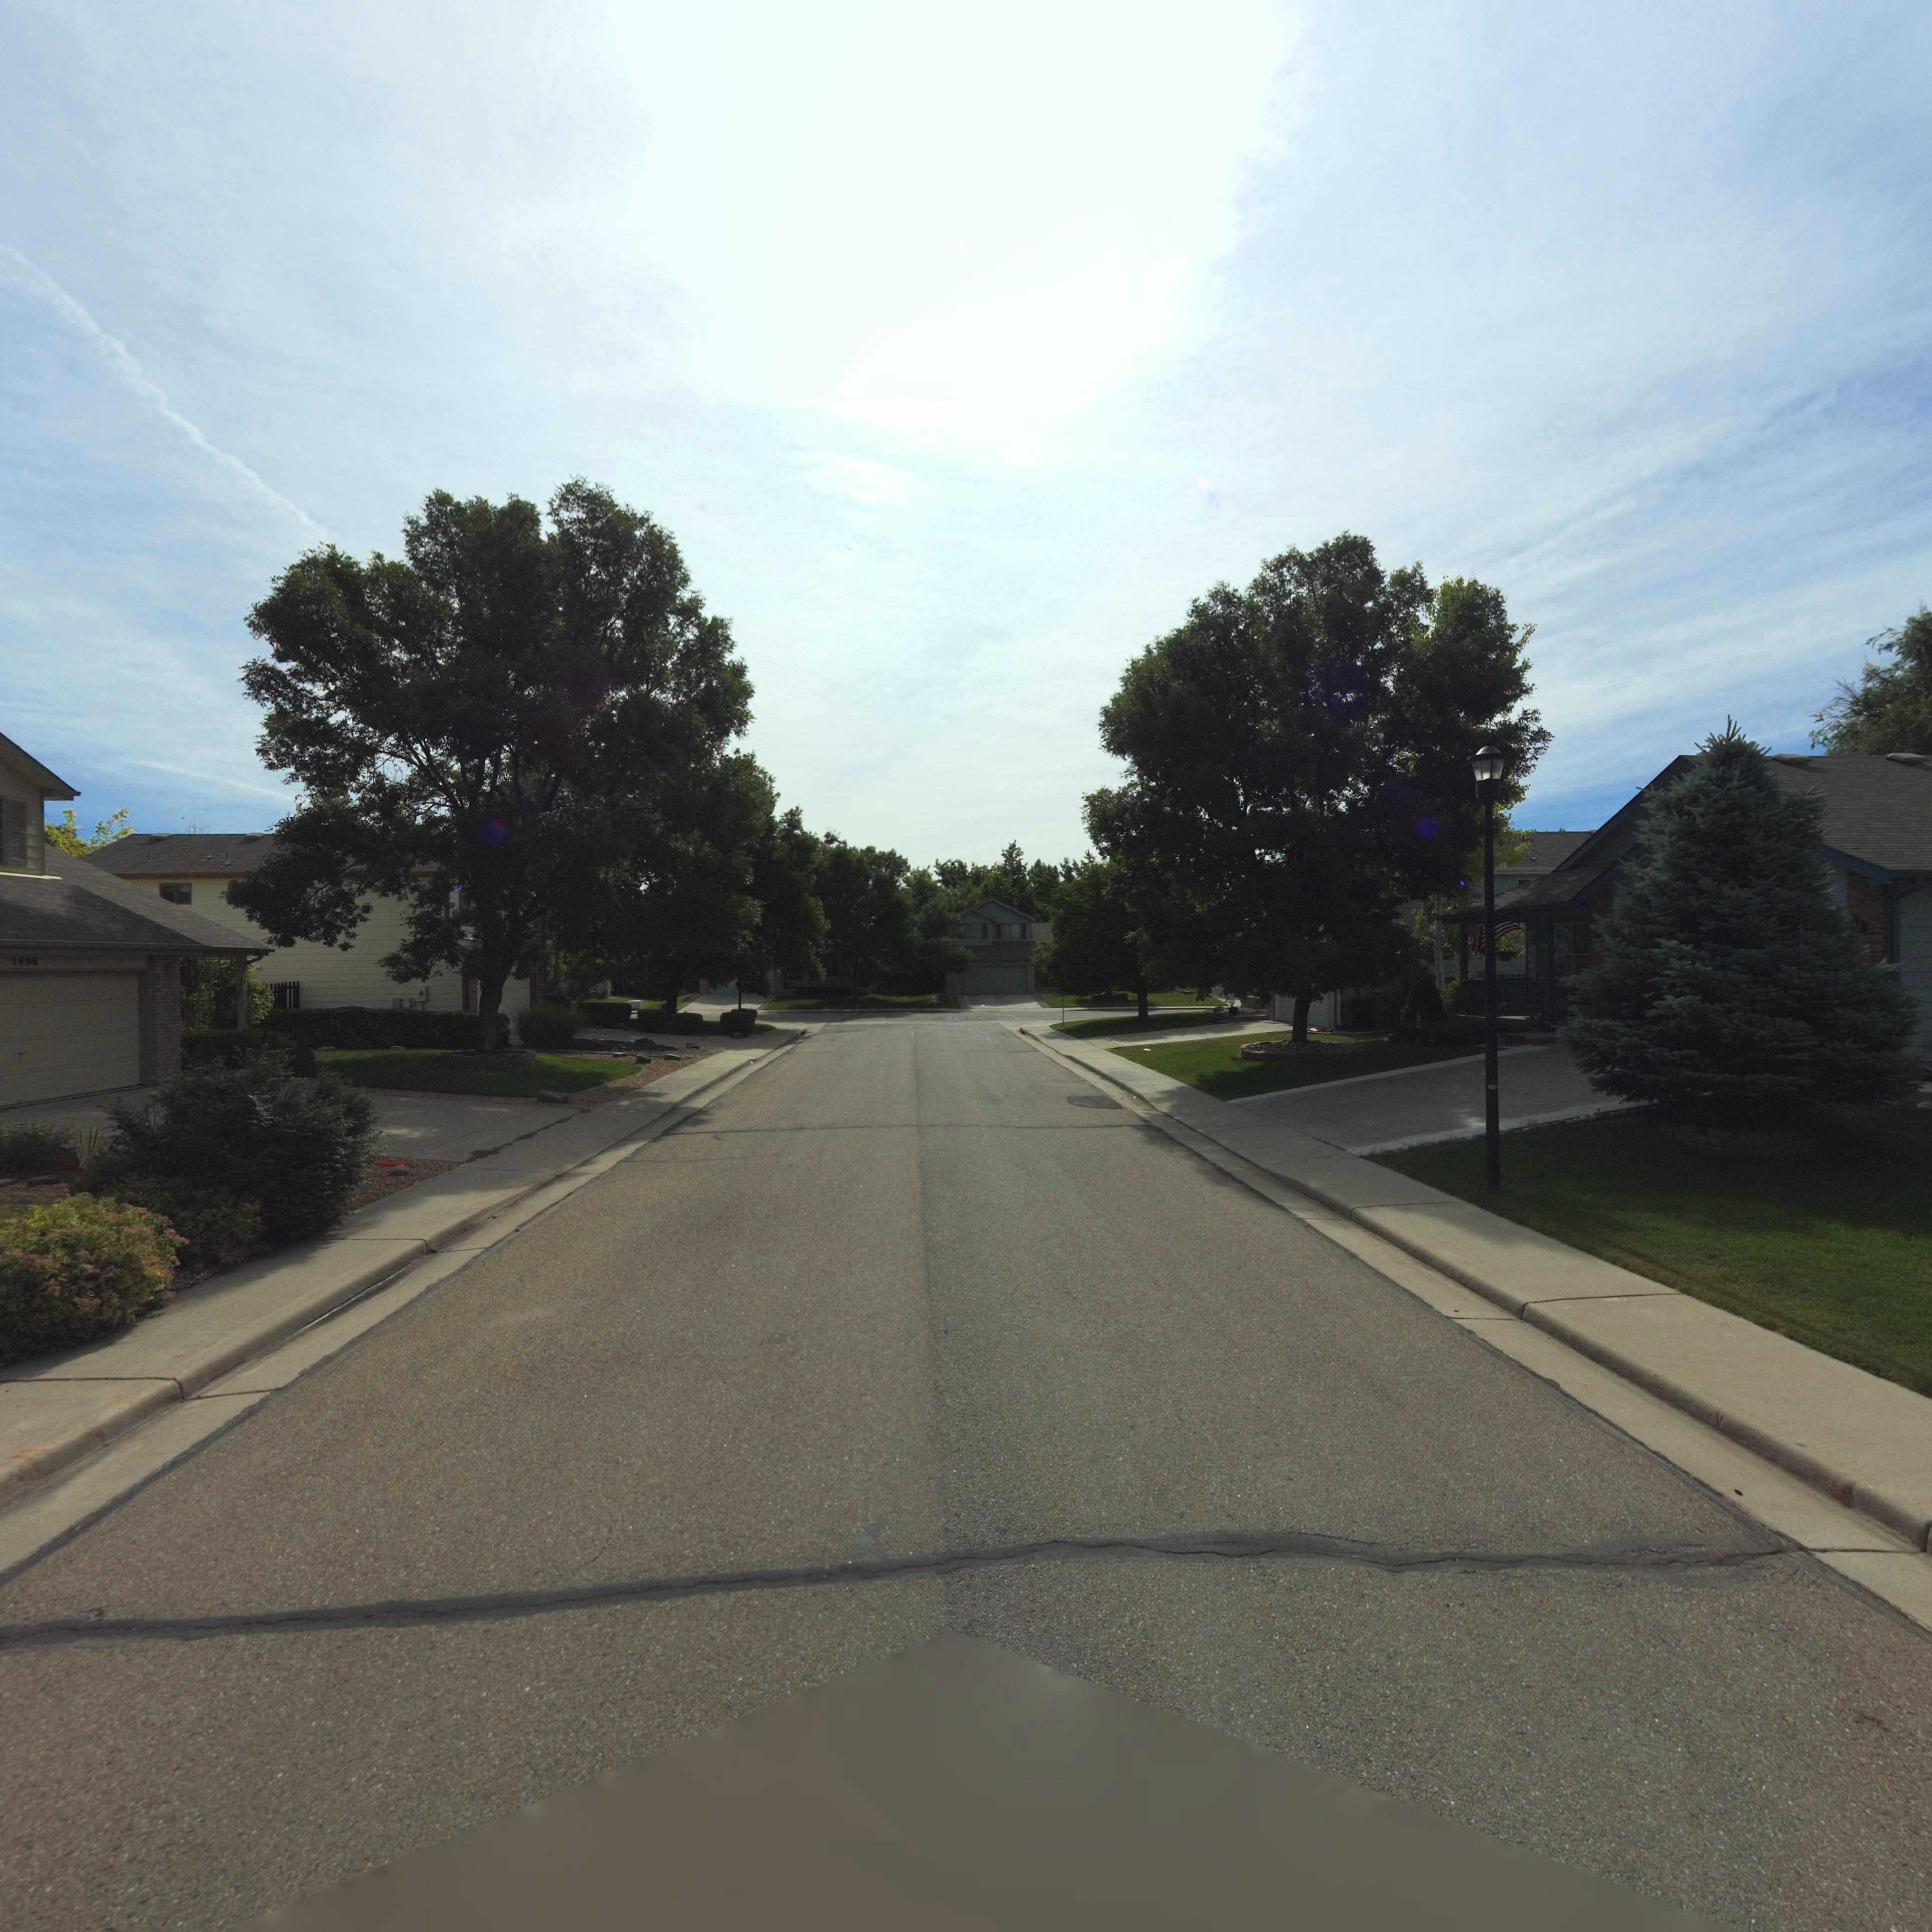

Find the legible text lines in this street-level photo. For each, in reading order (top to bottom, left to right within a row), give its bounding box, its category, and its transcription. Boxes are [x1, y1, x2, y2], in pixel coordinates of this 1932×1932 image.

[12, 955, 39, 966] StreetNumber: 1406